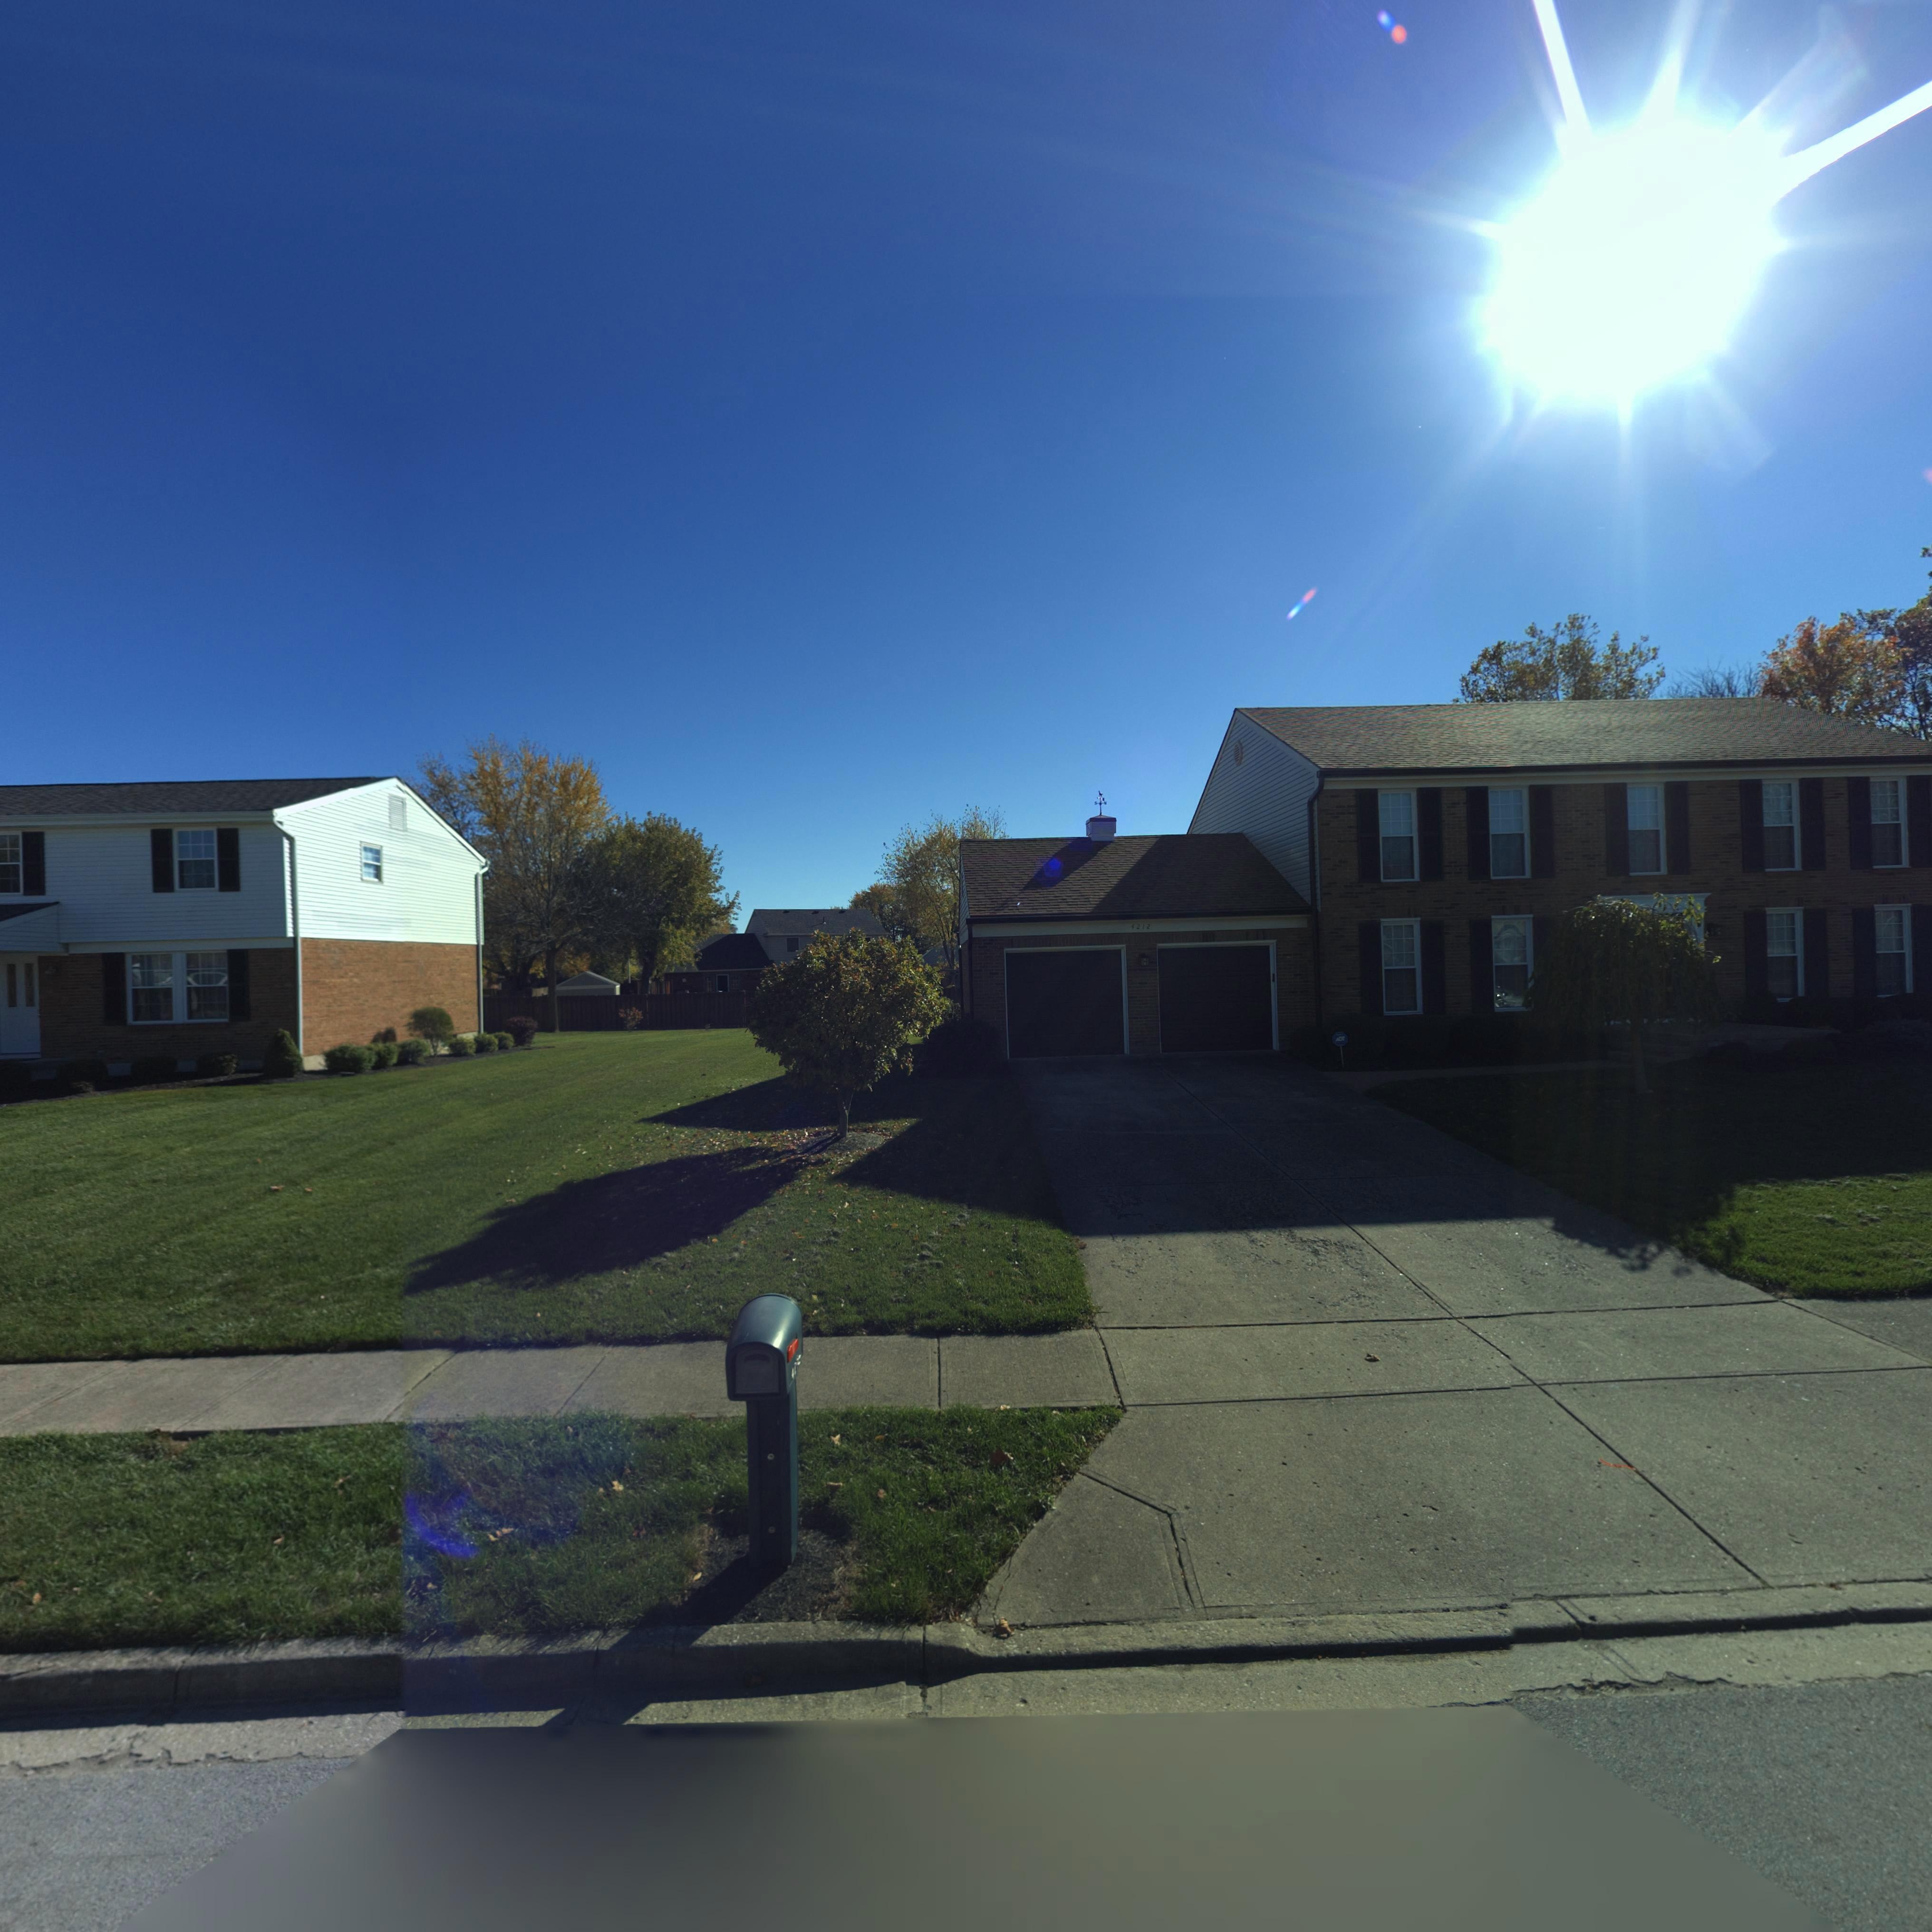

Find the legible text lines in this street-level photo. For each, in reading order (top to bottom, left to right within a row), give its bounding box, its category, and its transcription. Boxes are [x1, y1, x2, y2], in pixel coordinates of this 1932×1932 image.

[1130, 923, 1151, 930] StreetNumber: 4212